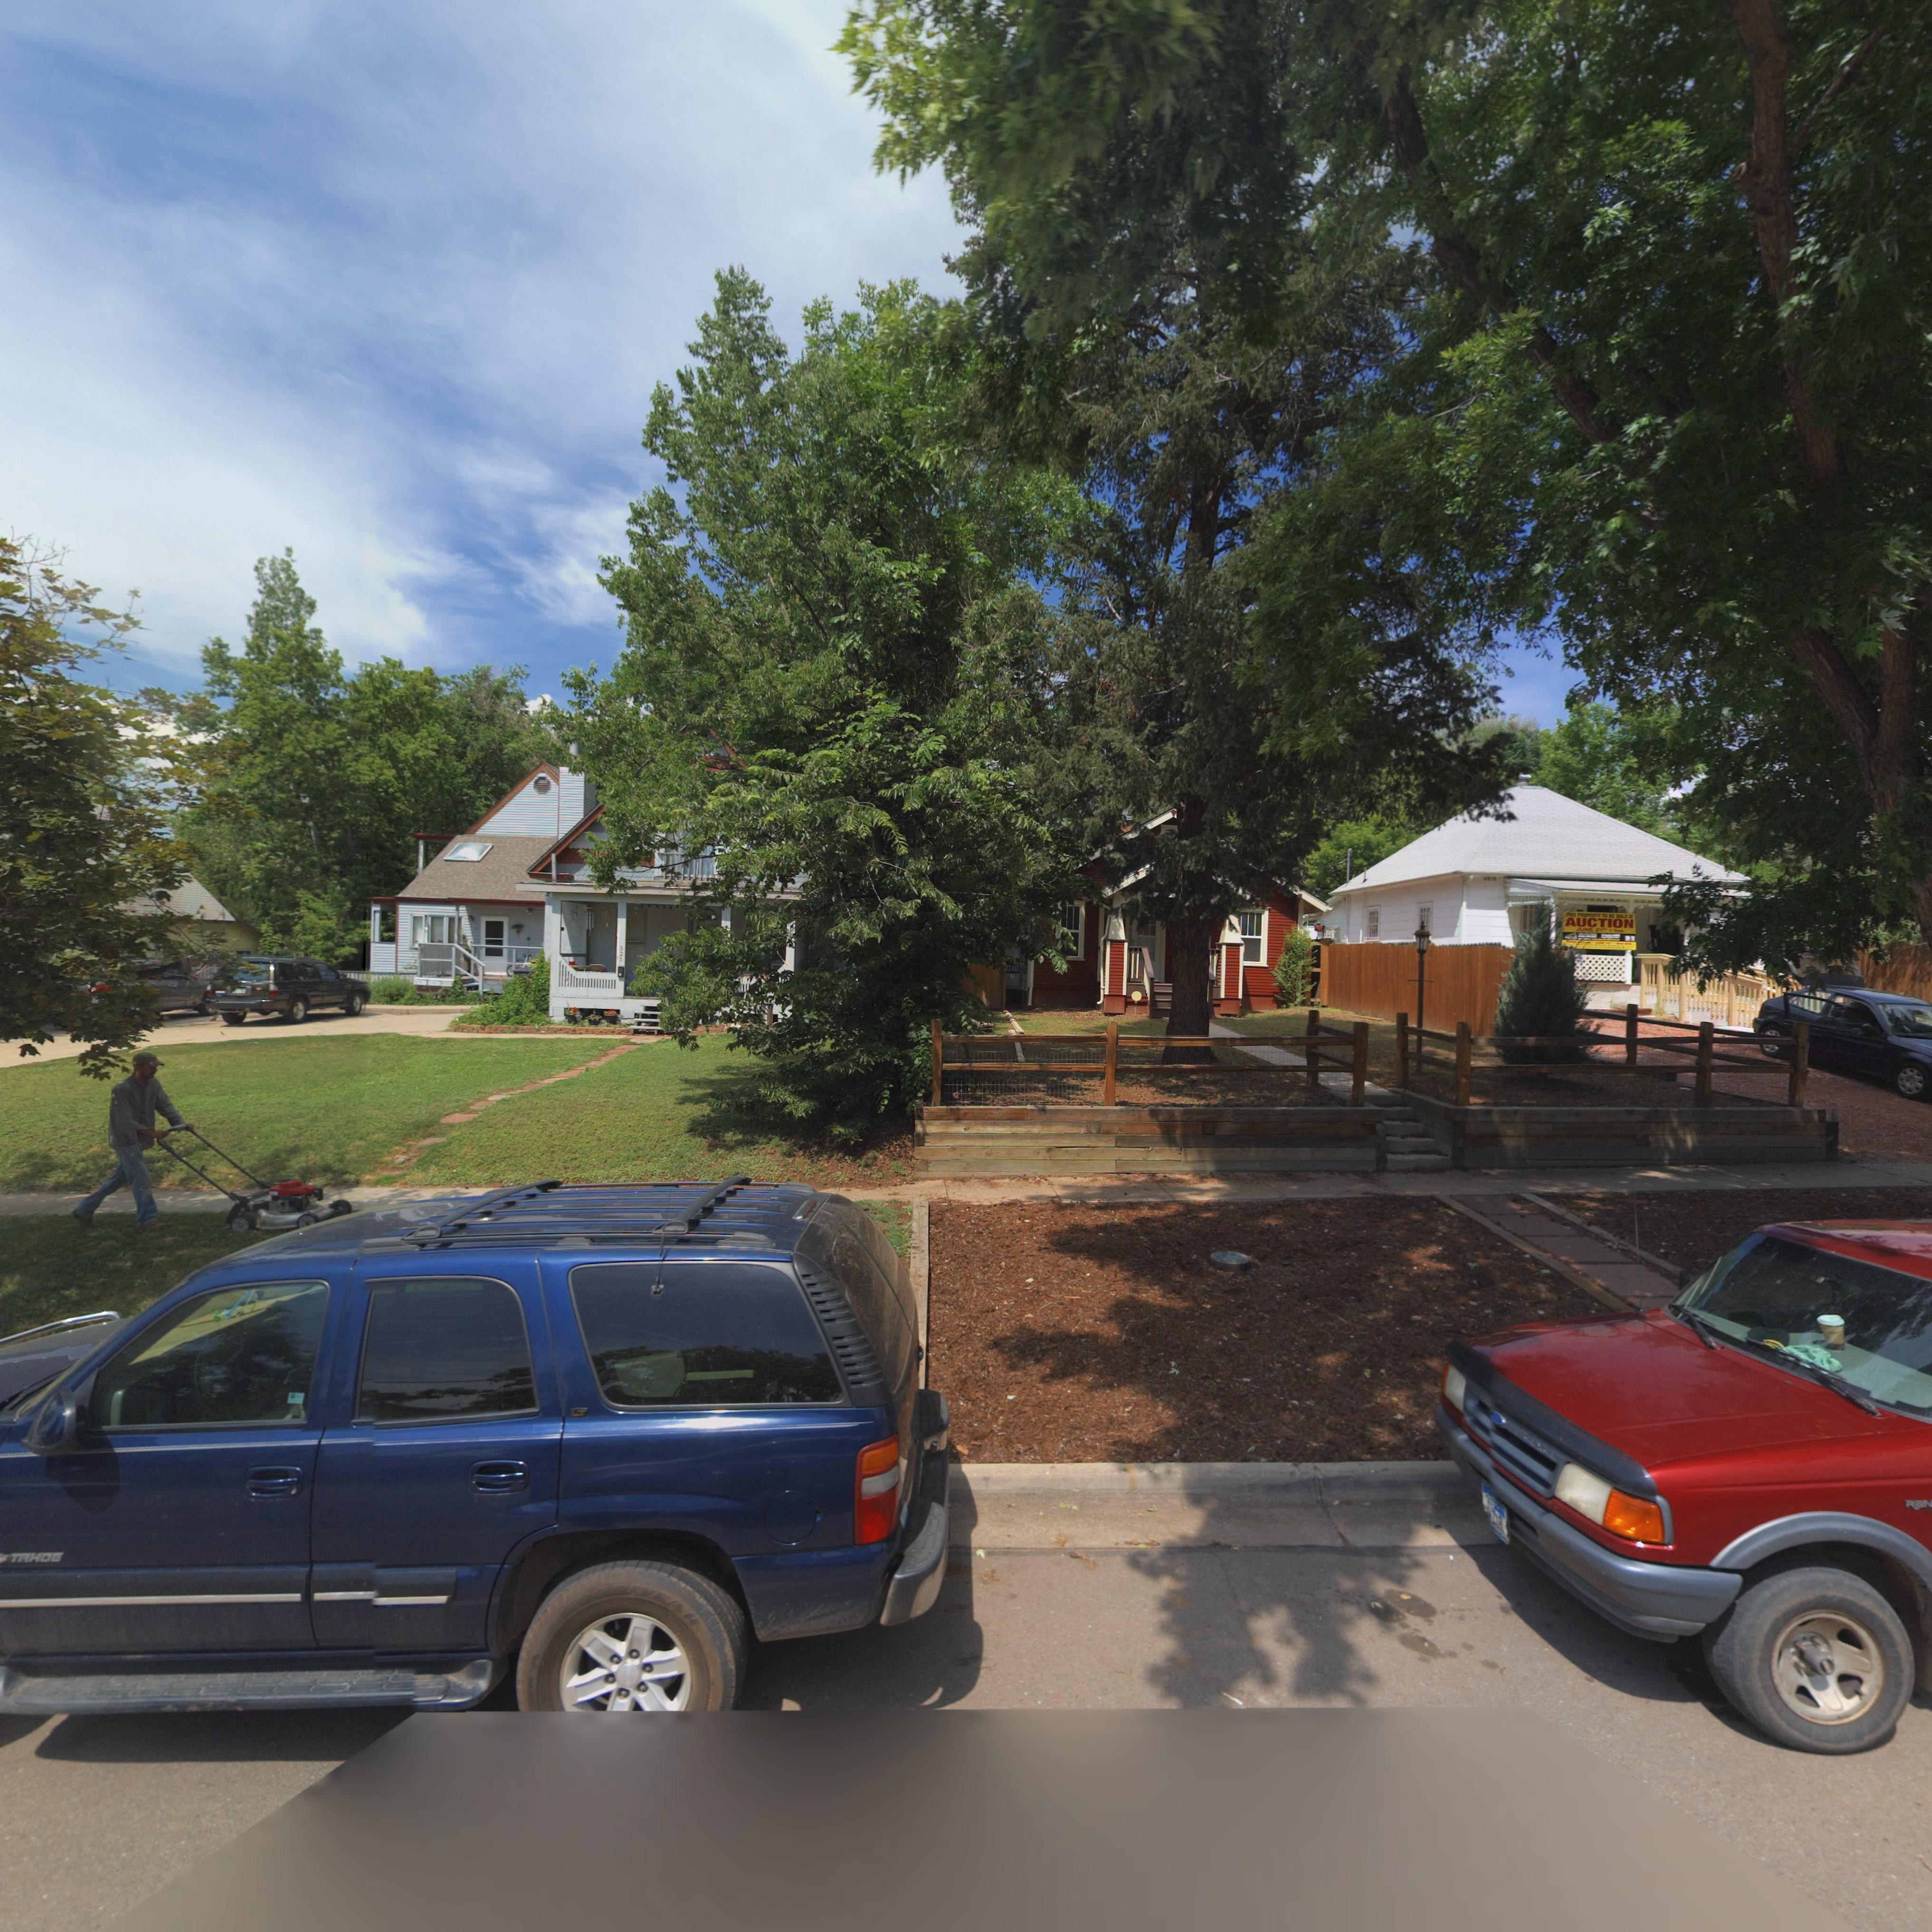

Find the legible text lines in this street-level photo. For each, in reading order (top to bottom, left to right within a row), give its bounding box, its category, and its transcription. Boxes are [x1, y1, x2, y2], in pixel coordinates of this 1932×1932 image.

[618, 945, 623, 962] StreetNumber: 325